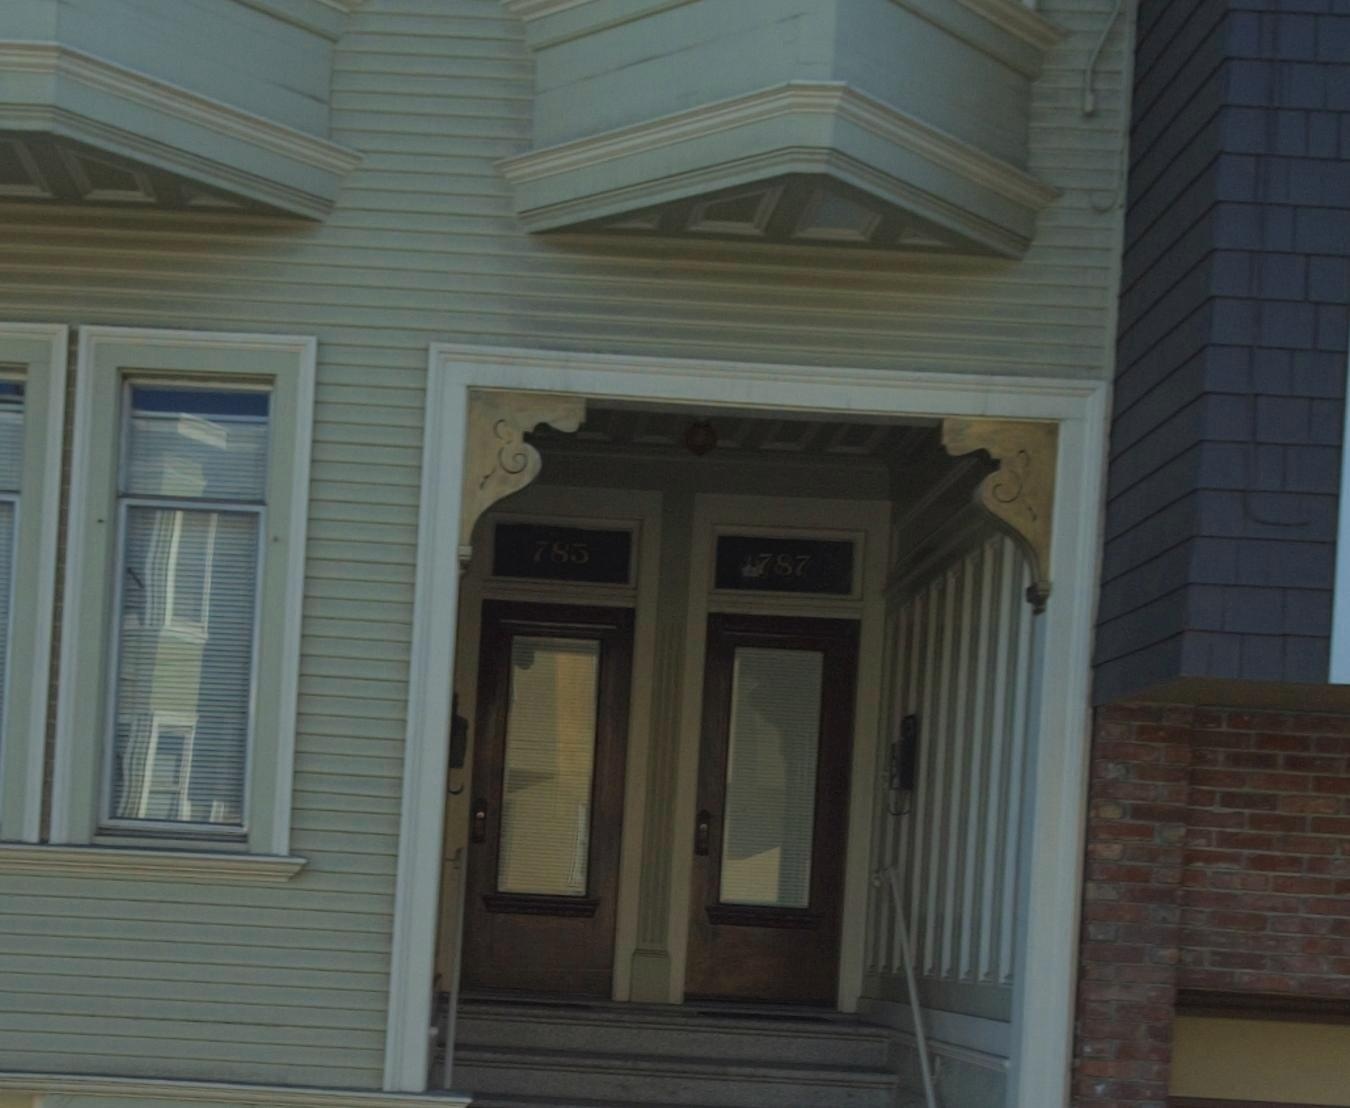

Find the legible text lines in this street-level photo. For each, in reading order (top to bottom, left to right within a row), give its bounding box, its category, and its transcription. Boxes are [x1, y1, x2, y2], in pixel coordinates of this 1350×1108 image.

[528, 538, 591, 567] StreetNumber: 785
[754, 550, 815, 580] StreetNumber: 787